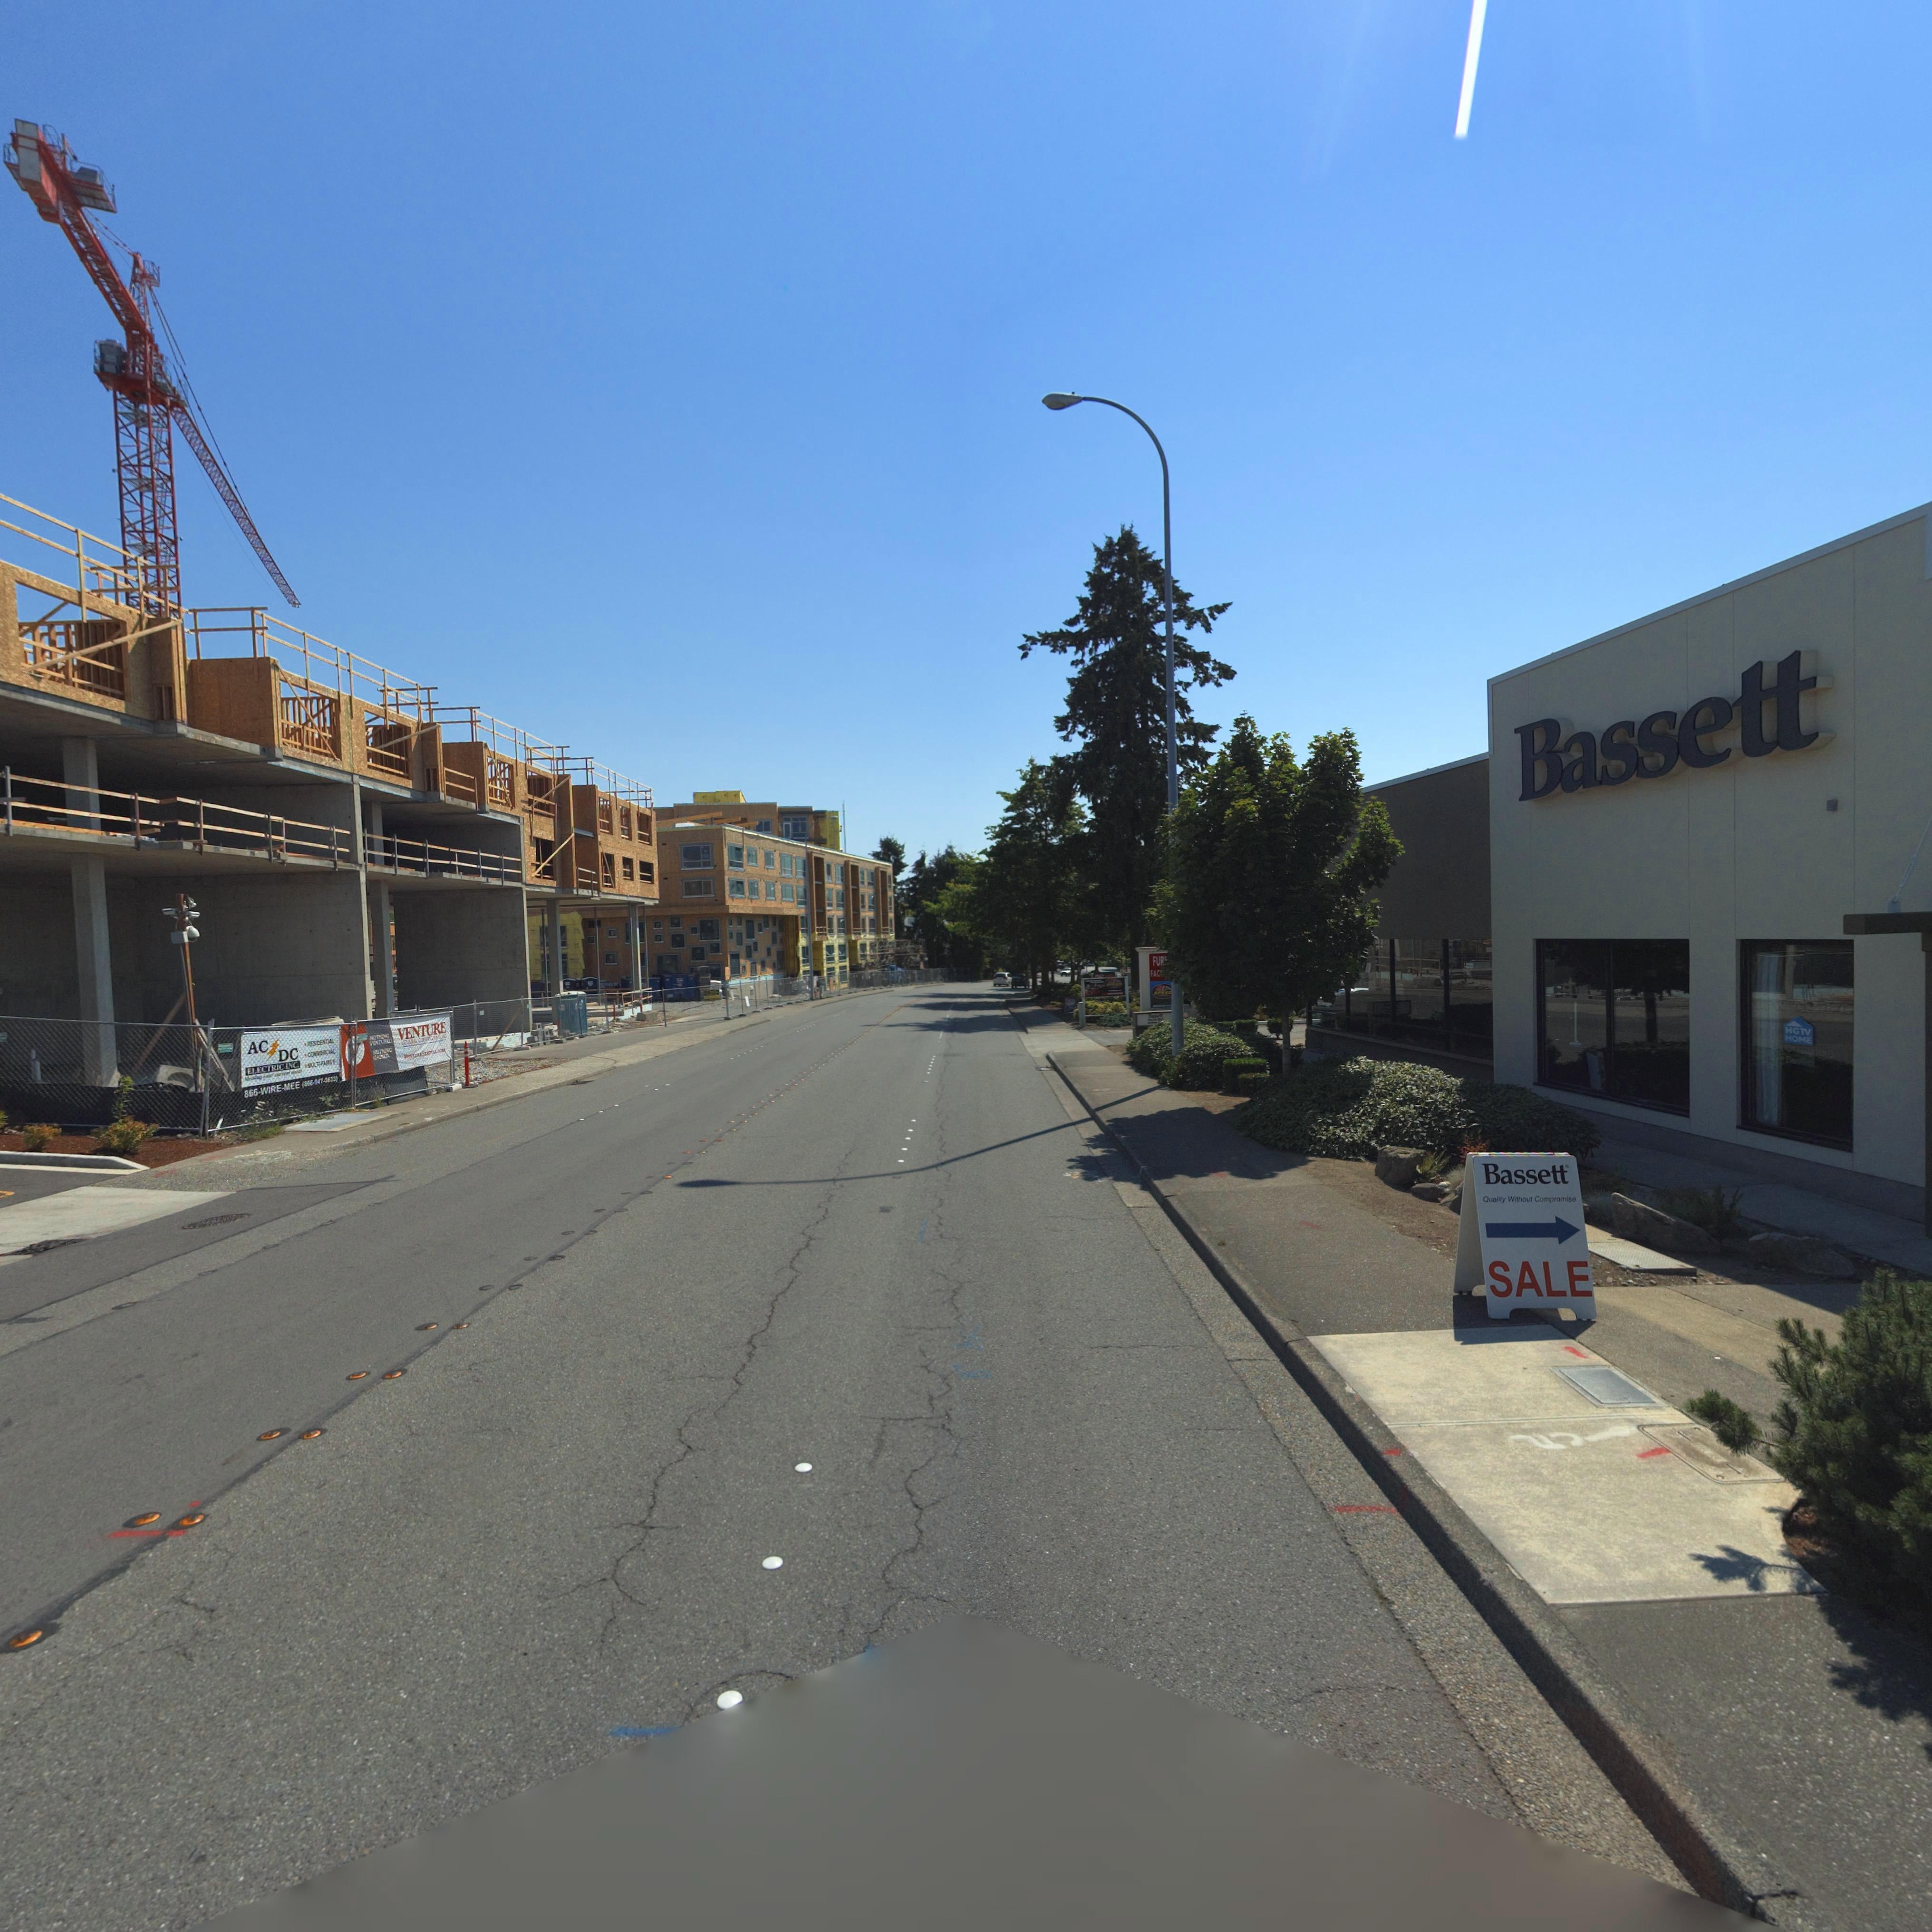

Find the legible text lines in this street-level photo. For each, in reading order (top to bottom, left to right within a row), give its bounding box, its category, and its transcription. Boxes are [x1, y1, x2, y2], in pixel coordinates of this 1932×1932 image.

[1514, 647, 1830, 804] BusinessName: Bassett
[1482, 1164, 1568, 1184] BusinessName: Bassett